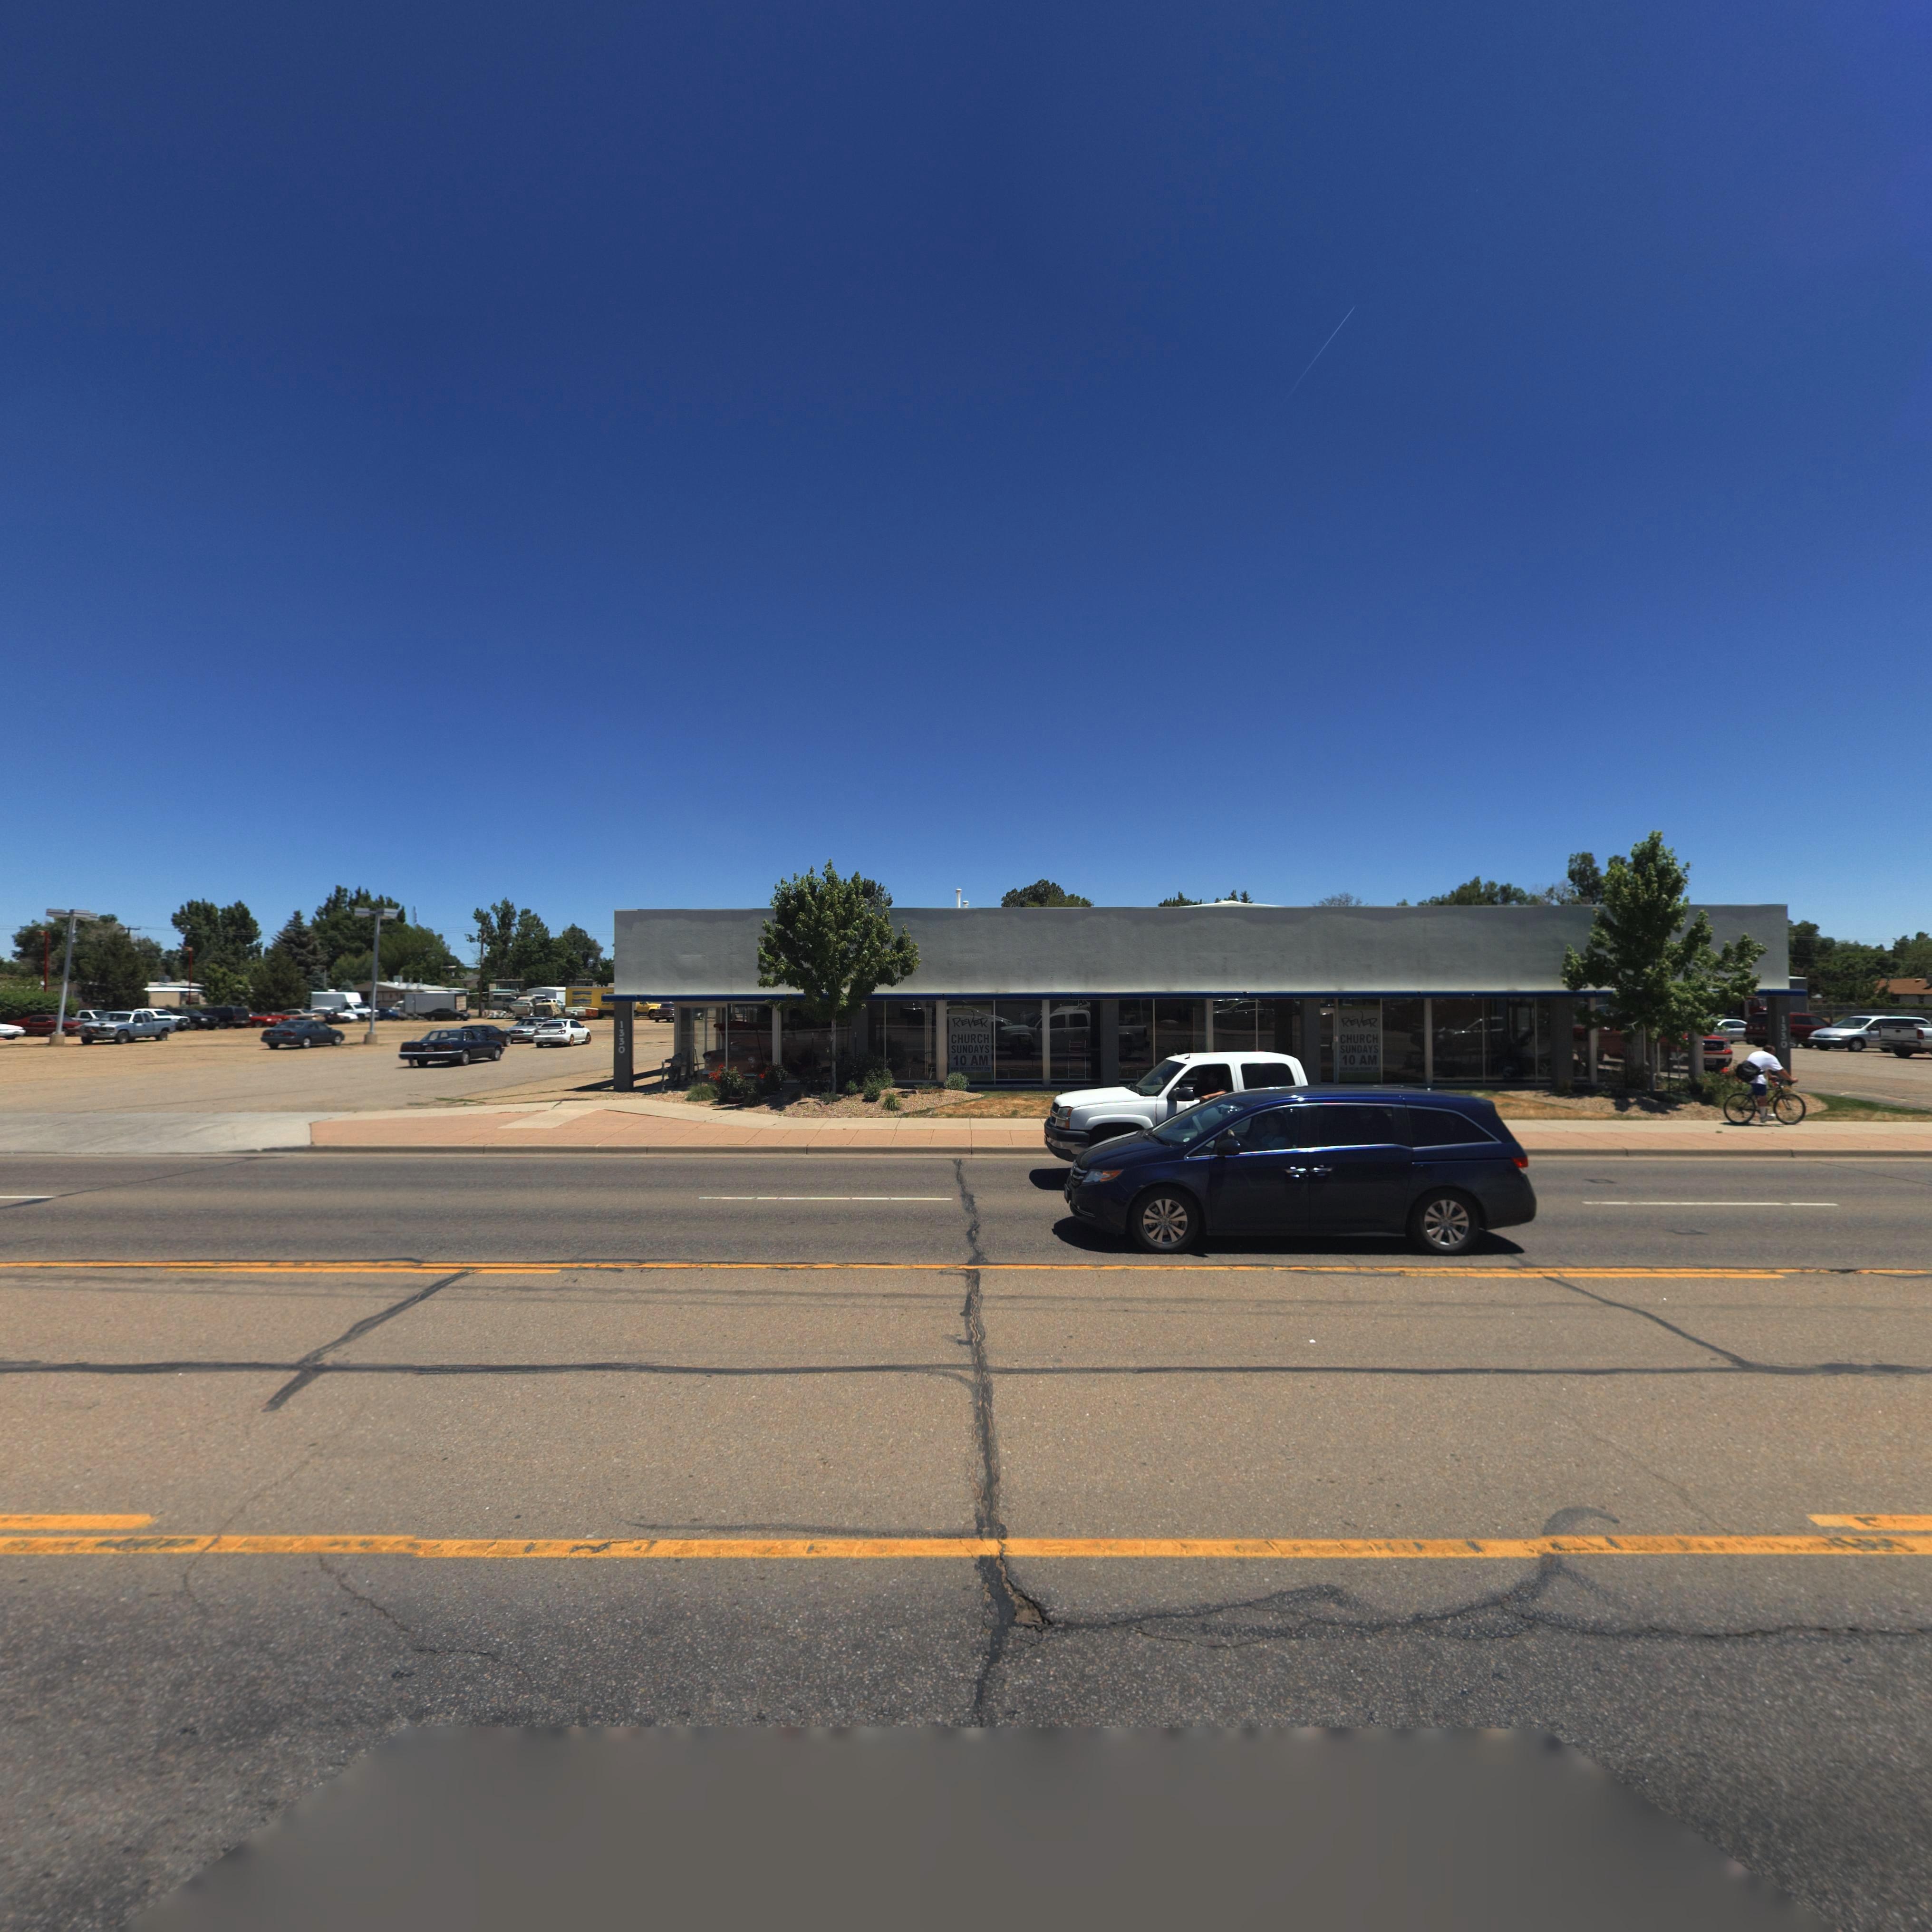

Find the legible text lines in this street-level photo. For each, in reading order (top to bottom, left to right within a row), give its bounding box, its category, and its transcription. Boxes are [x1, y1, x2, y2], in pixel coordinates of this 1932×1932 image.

[617, 1020, 626, 1053] StreetNumber: 1330
[952, 1009, 989, 1028] BusinessName: REVER
[1340, 1009, 1378, 1028] BusinessName: REVER
[1779, 1014, 1788, 1049] StreetNumber: 1330